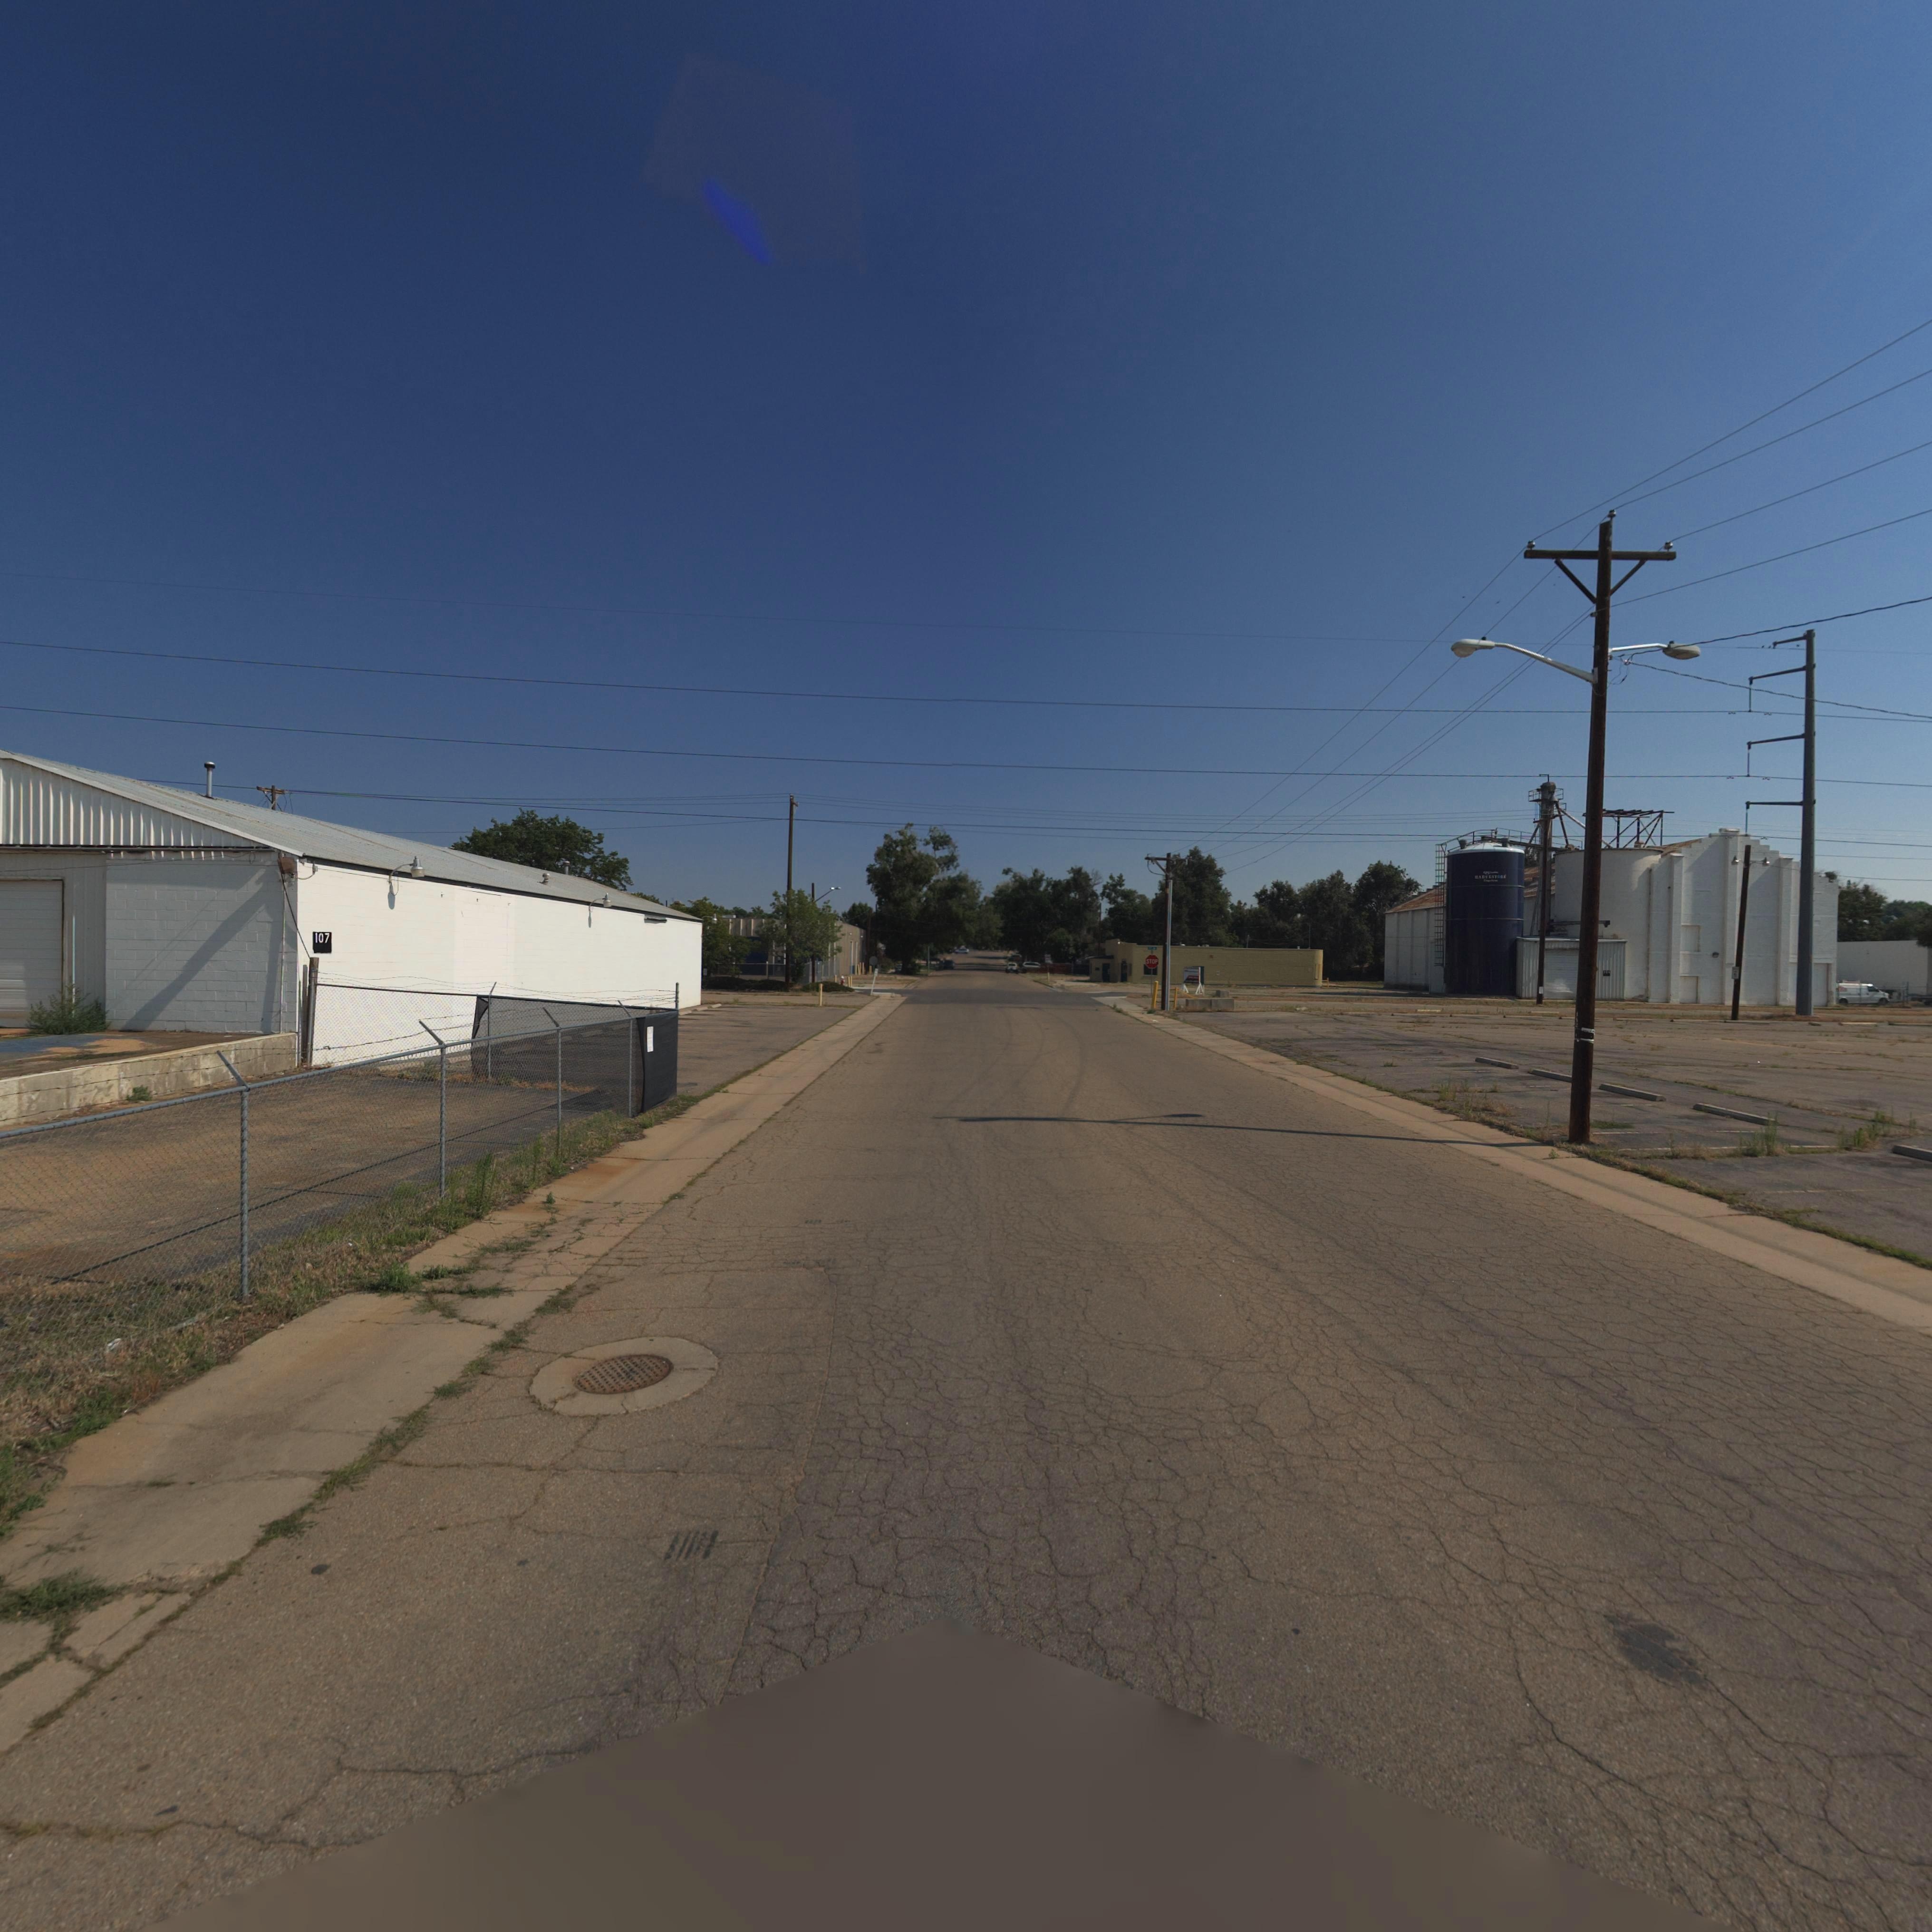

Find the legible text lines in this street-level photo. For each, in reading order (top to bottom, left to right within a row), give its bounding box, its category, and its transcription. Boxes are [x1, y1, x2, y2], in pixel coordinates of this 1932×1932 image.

[315, 932, 330, 944] StreetNumber: 107
[1148, 947, 1156, 950] StreetName: 2nd Av
[1603, 970, 1610, 974] StreetNumber: 324